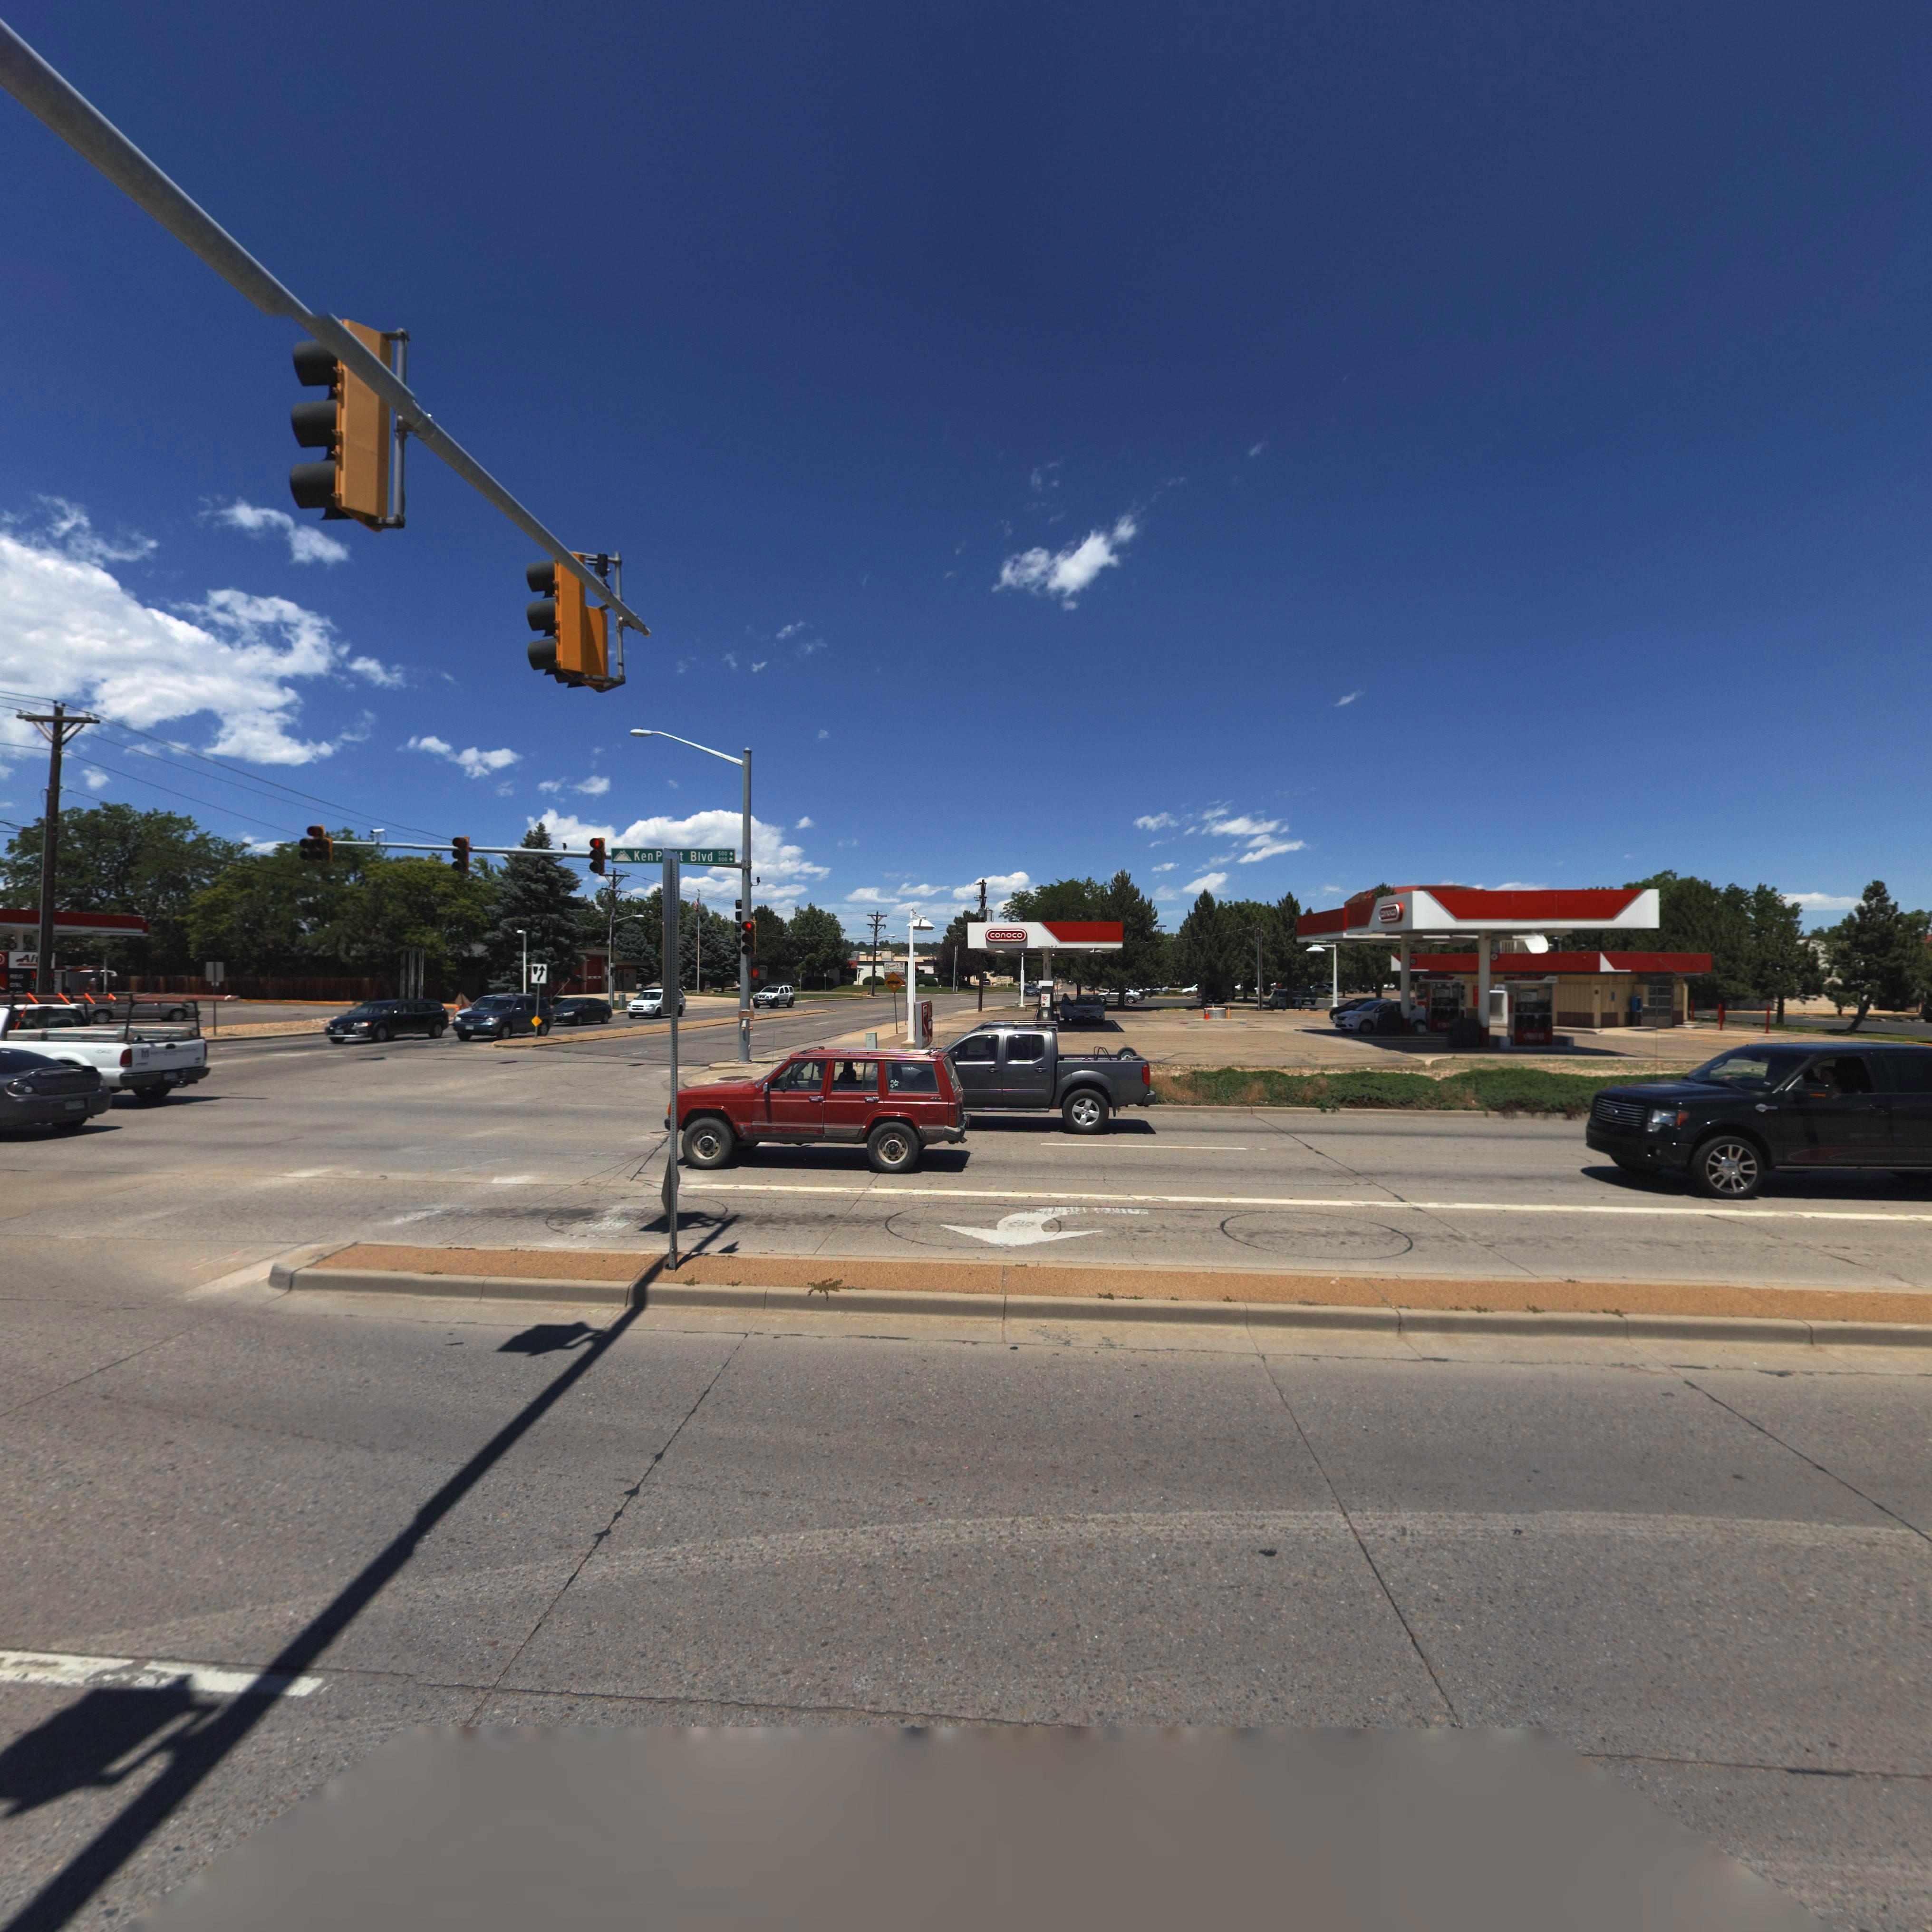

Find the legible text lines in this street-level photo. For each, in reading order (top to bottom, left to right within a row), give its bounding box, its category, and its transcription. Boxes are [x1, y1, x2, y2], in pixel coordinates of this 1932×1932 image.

[633, 850, 713, 861] StreetName: Ken P***t Blvd
[717, 850, 728, 856] StreetNumberRange: 500
[717, 857, 734, 862] StreetNumberRange: 800->
[989, 932, 1023, 938] BusinessName: conoco